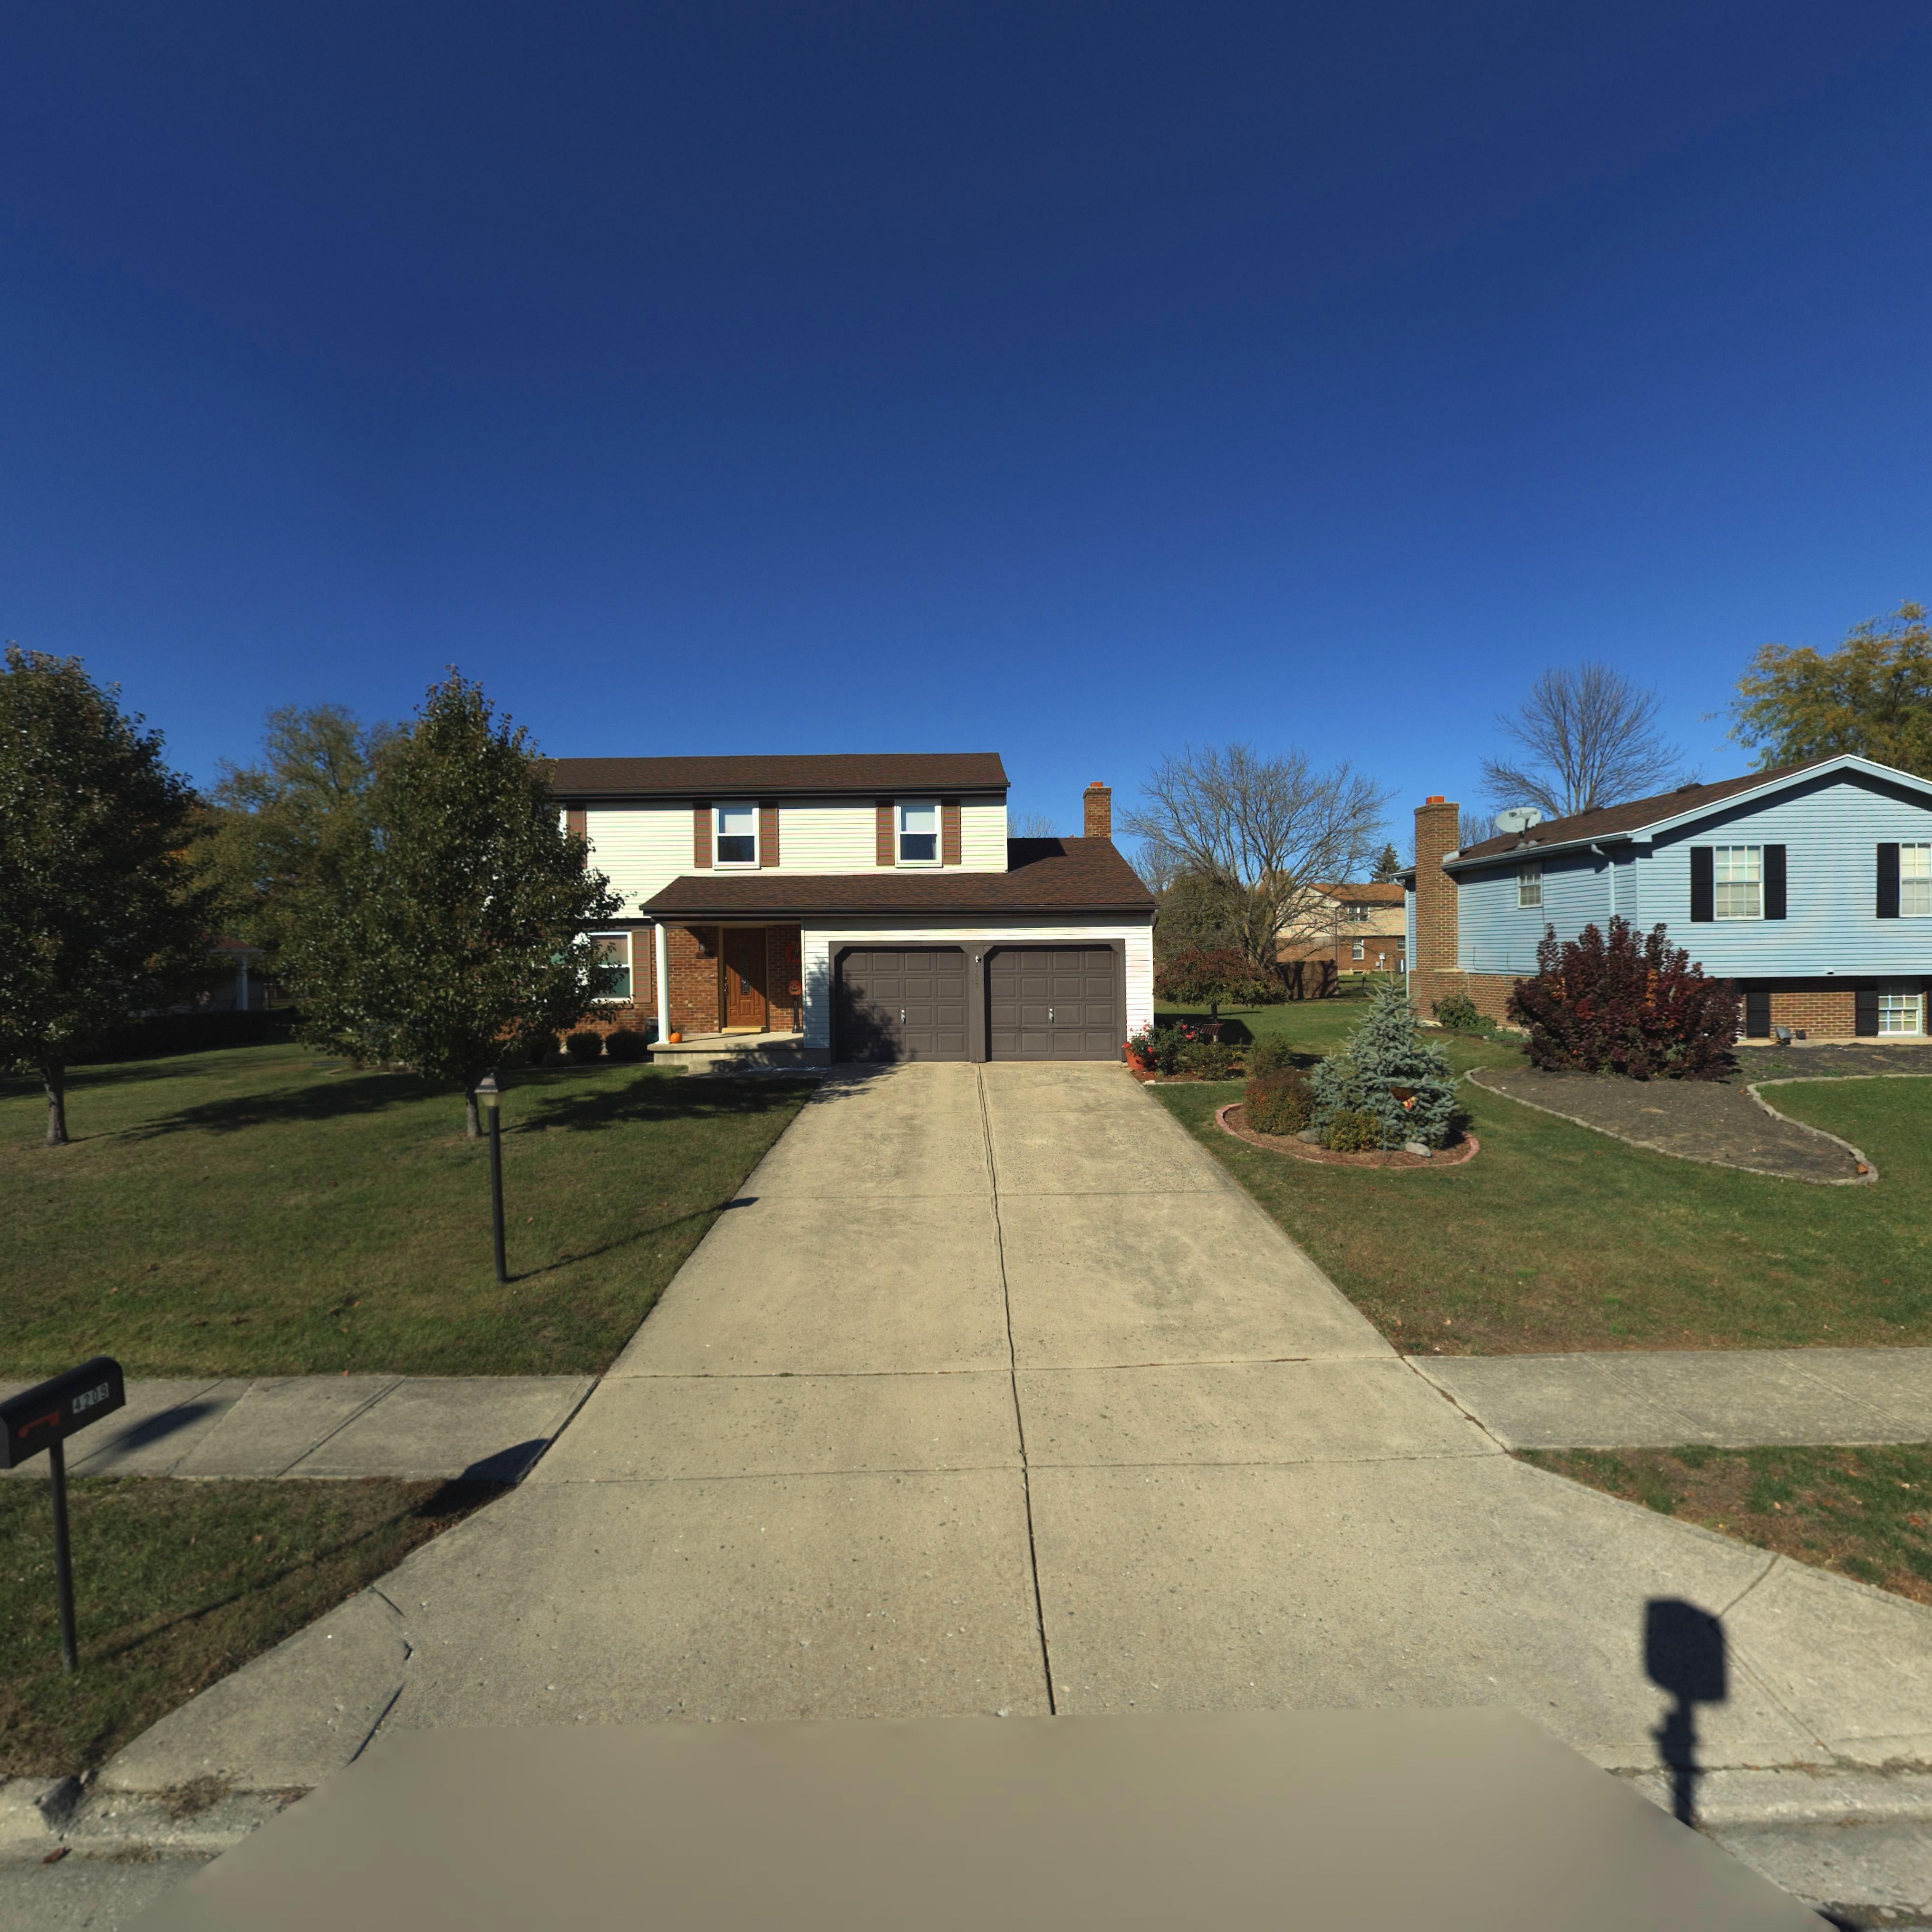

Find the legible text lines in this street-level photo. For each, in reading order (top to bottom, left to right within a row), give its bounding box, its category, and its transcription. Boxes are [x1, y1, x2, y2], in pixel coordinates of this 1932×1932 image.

[975, 962, 979, 989] StreetNumber: 4209
[73, 1383, 107, 1411] StreetNumber: 4209